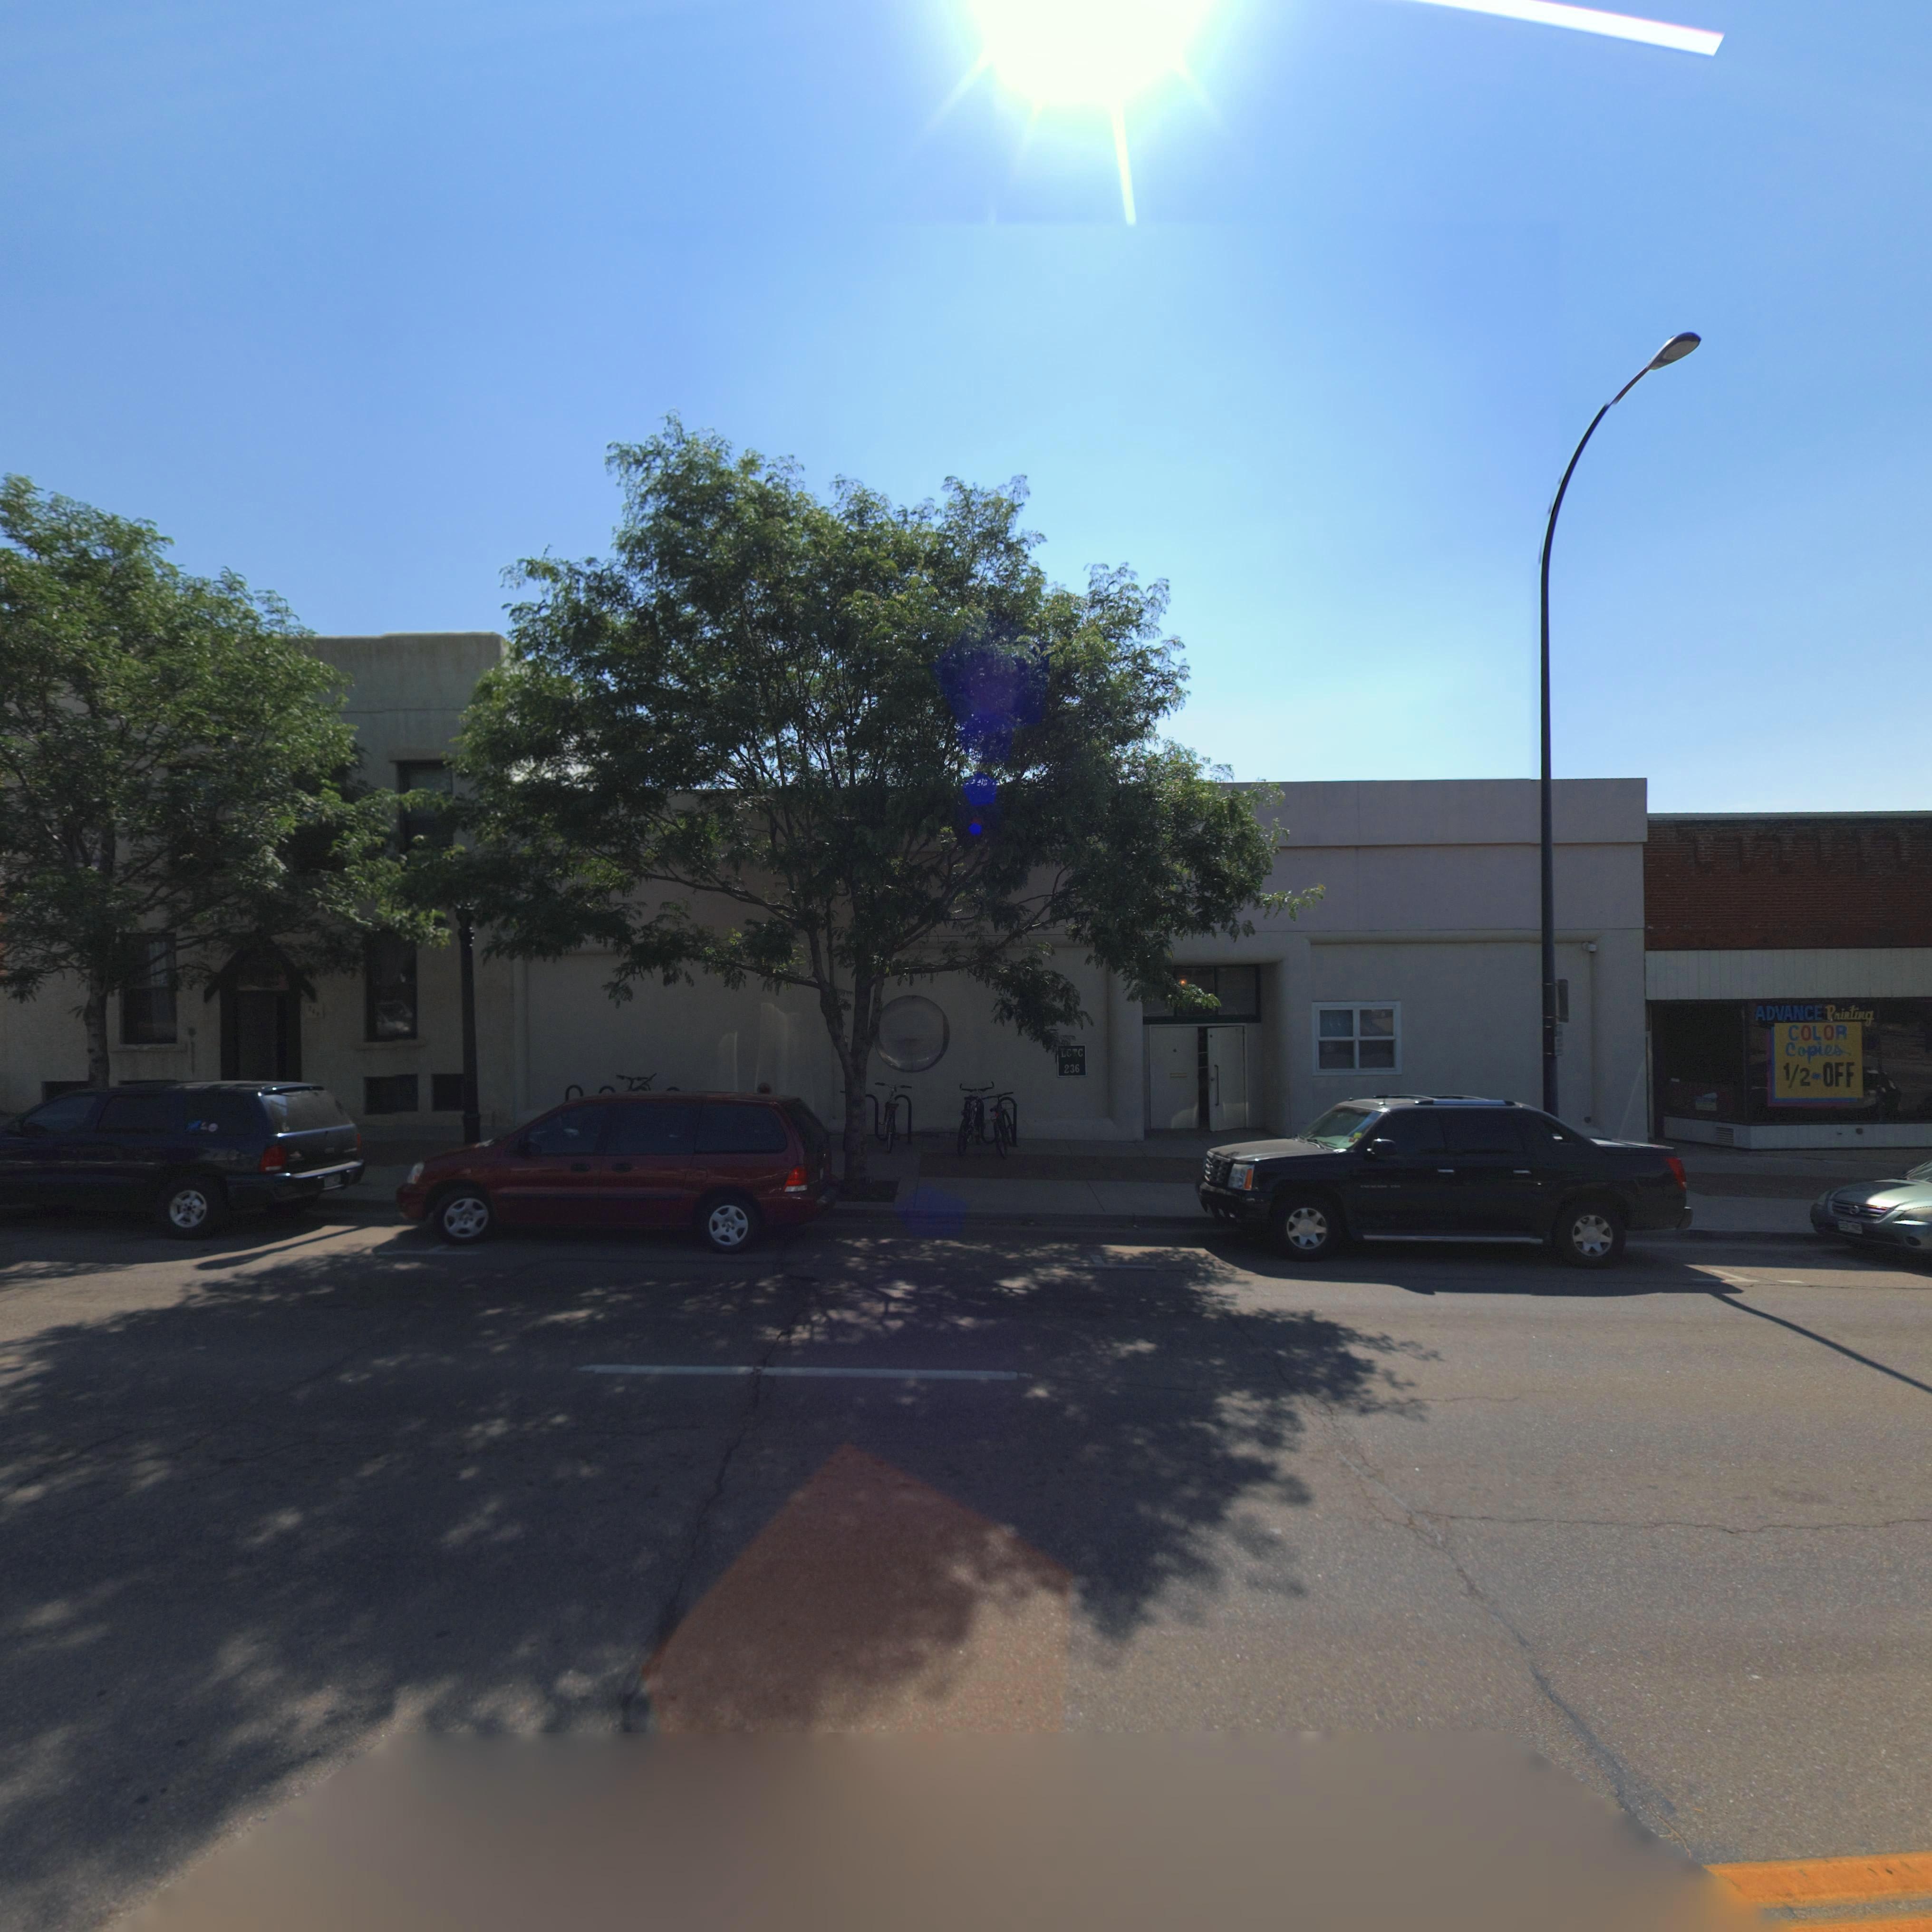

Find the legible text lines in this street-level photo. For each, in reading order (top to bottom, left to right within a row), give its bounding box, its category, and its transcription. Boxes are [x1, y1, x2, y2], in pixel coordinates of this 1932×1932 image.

[1754, 1004, 1875, 1028] BusinessName: ADVANCE Printing
[1064, 1063, 1080, 1073] StreetNumber: 236